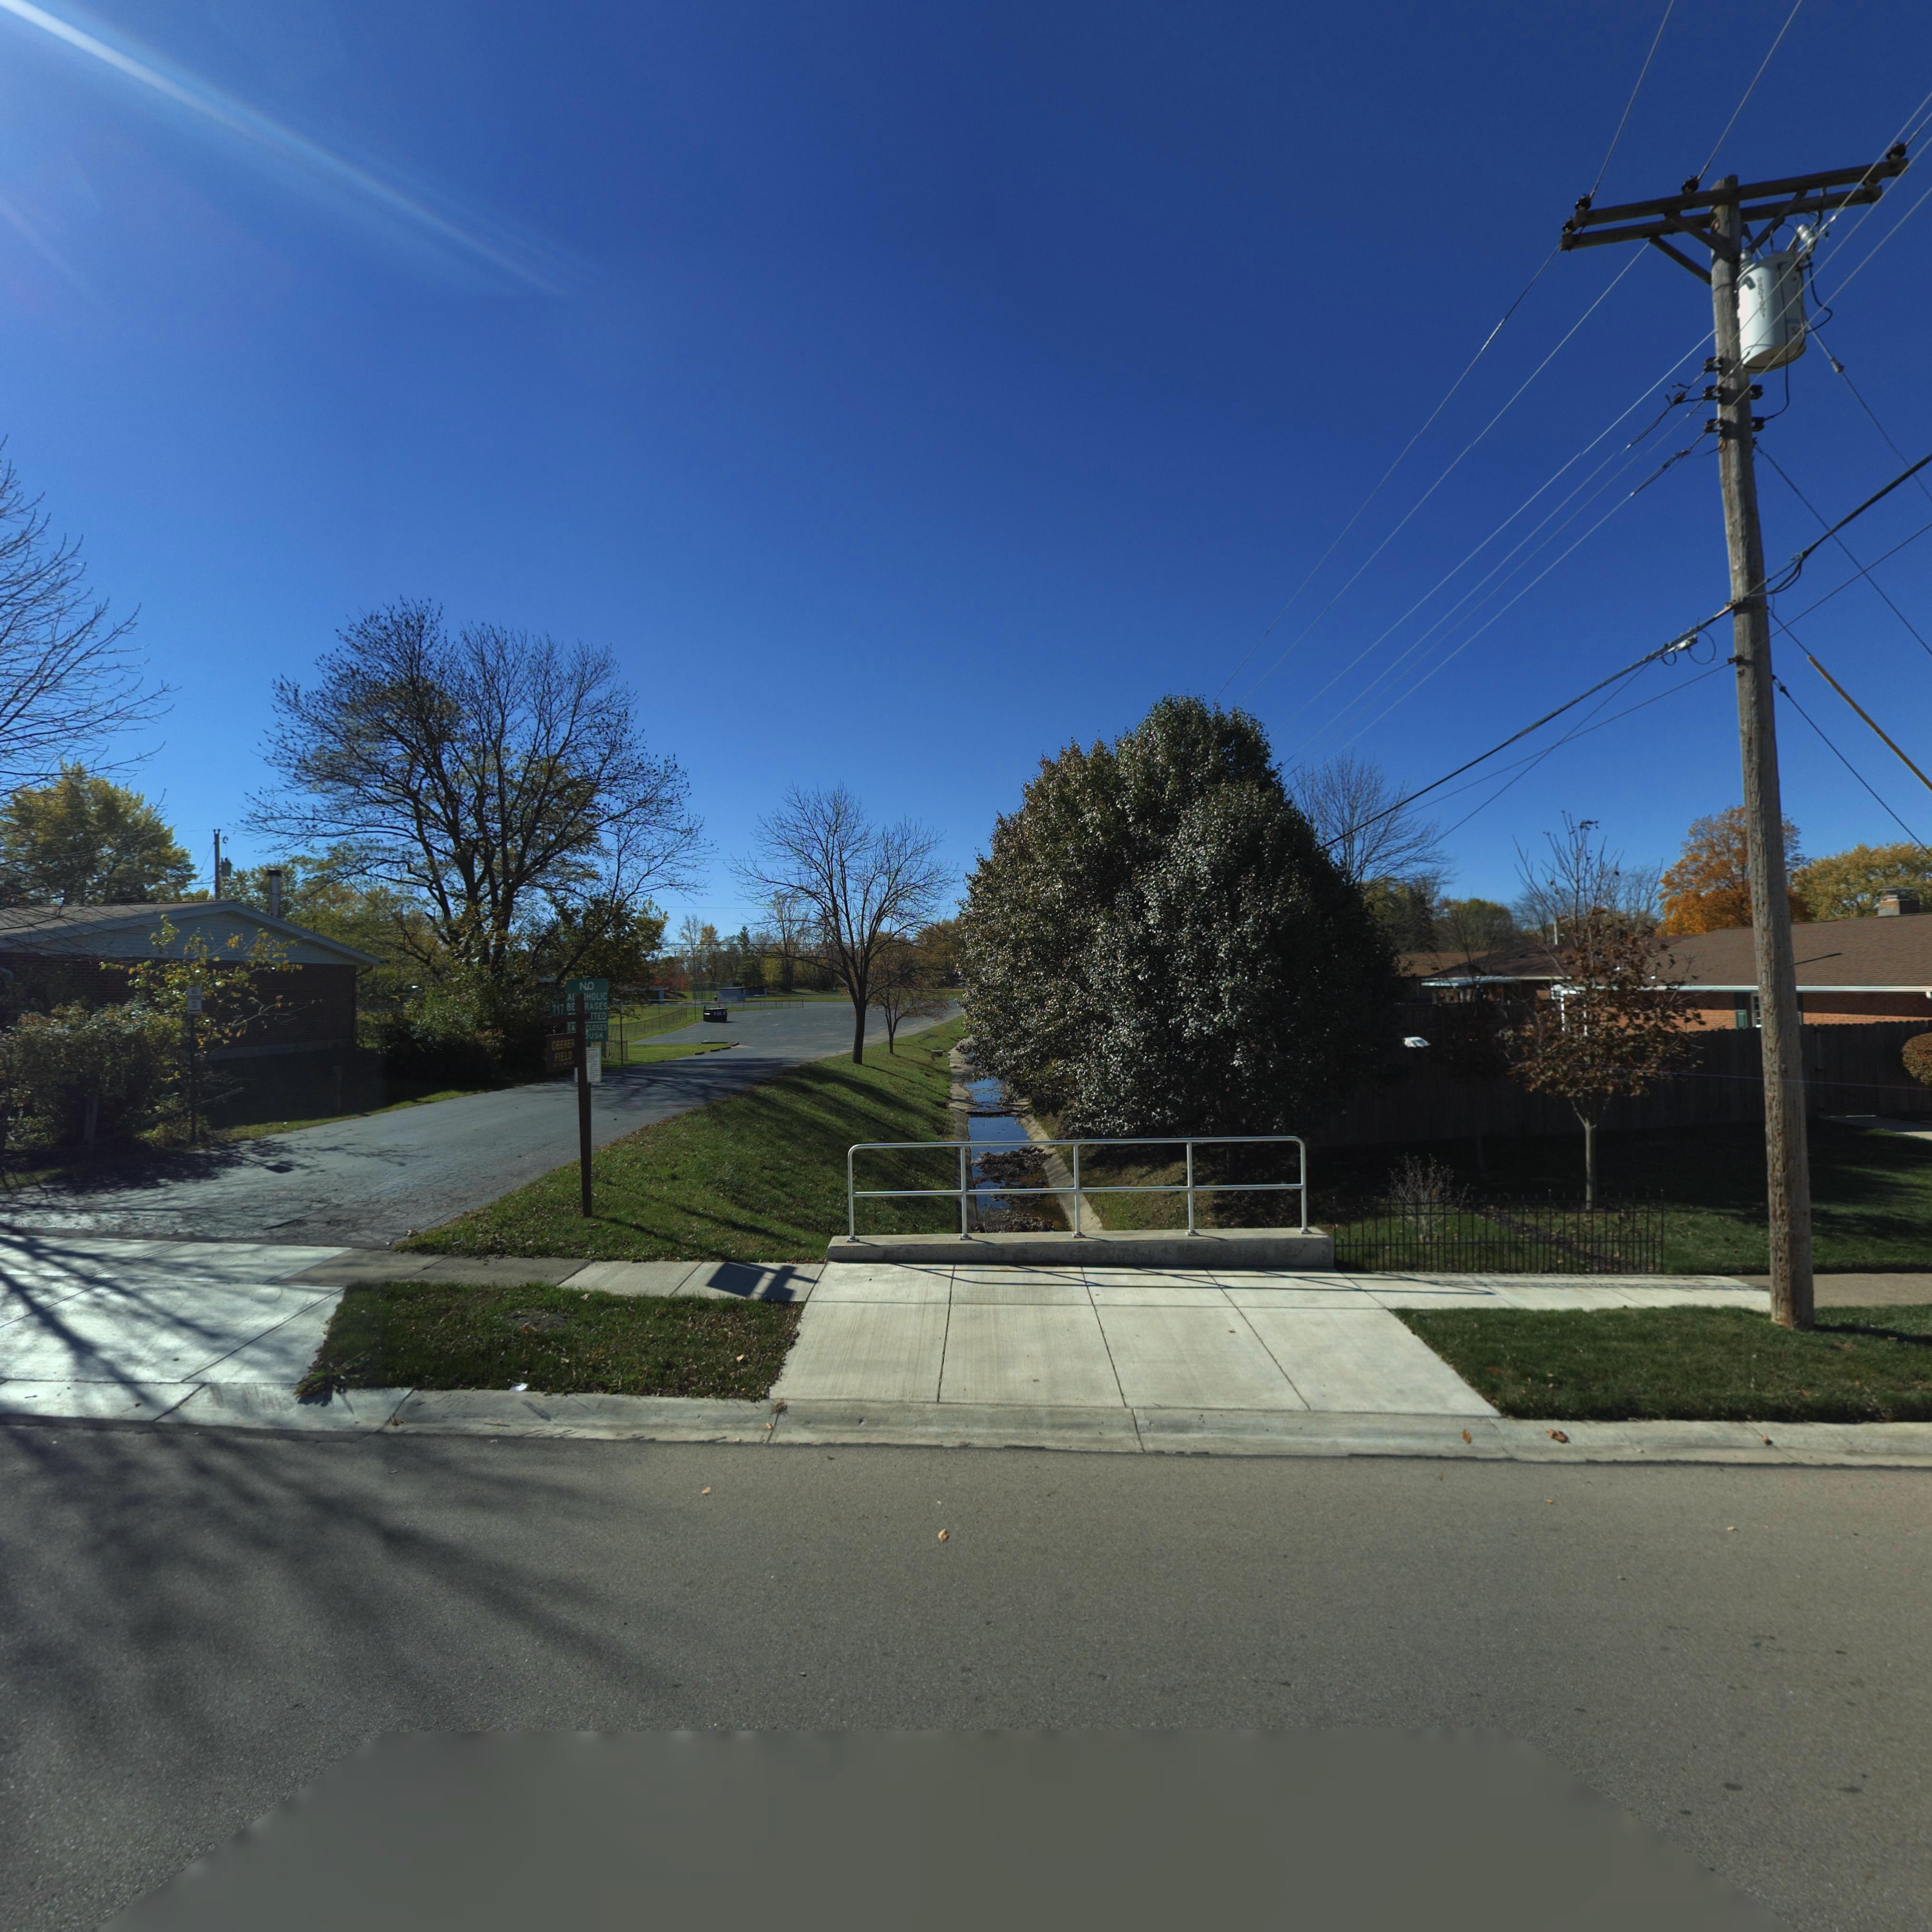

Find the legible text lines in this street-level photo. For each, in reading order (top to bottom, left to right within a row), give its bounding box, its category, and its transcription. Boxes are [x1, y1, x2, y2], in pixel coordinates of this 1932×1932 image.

[579, 981, 595, 991] None: NO
[566, 991, 608, 1002] None: A***HOLIC
[551, 1003, 565, 1015] StreetNumber: 717
[566, 1001, 608, 1012] None: BE**RAGES
[589, 1012, 608, 1021] None: TTED
[585, 1024, 608, 1032] None: CLOSES
[589, 1032, 604, 1040] None: USK
[551, 1038, 576, 1051] None: OBERER
[554, 1050, 573, 1063] None: FIELD